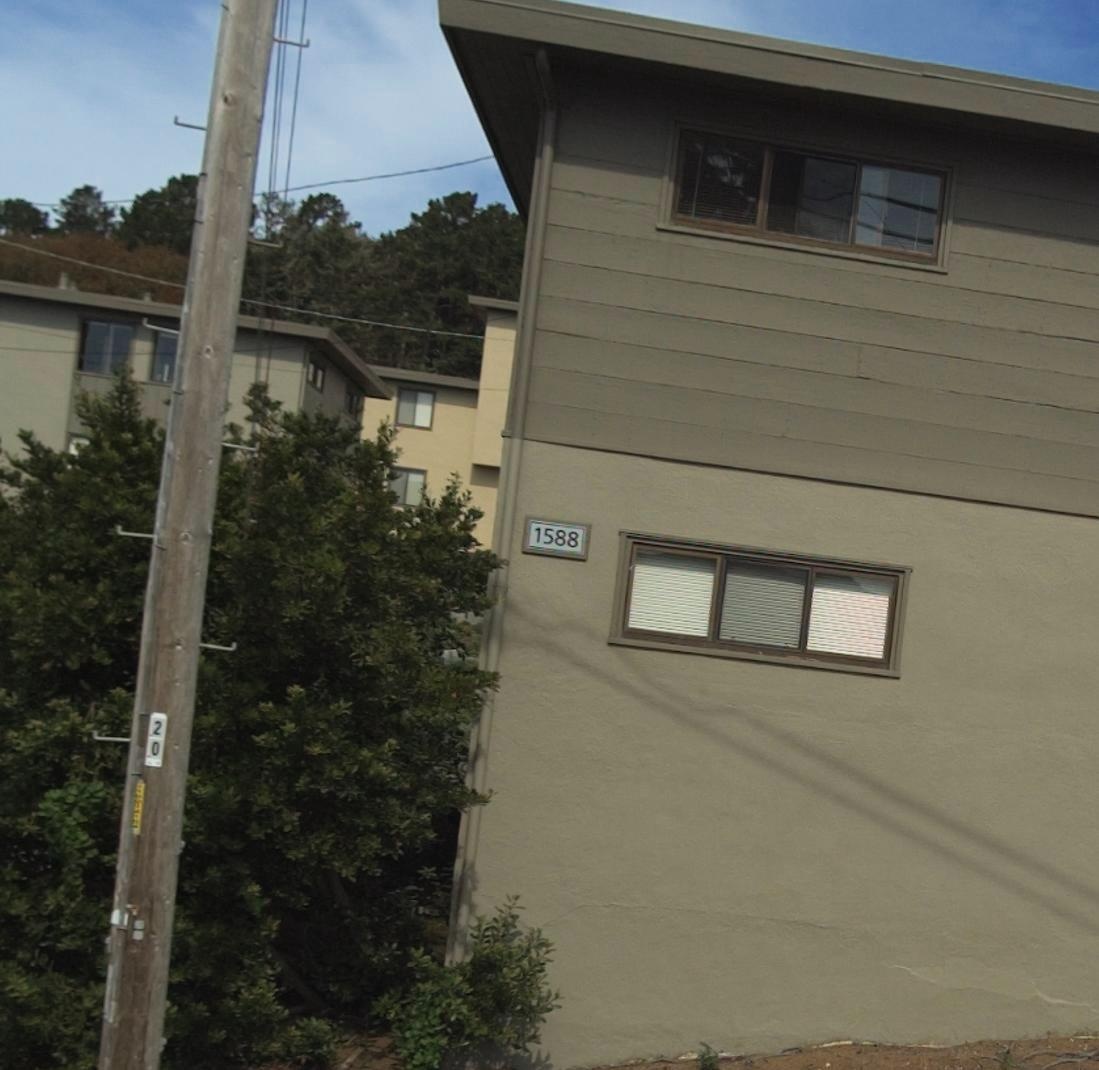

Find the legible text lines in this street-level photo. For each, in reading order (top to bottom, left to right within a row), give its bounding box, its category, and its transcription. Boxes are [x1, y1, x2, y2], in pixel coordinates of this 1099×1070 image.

[532, 525, 581, 551] StreetNumber: 1588
[148, 717, 164, 759] None: 20